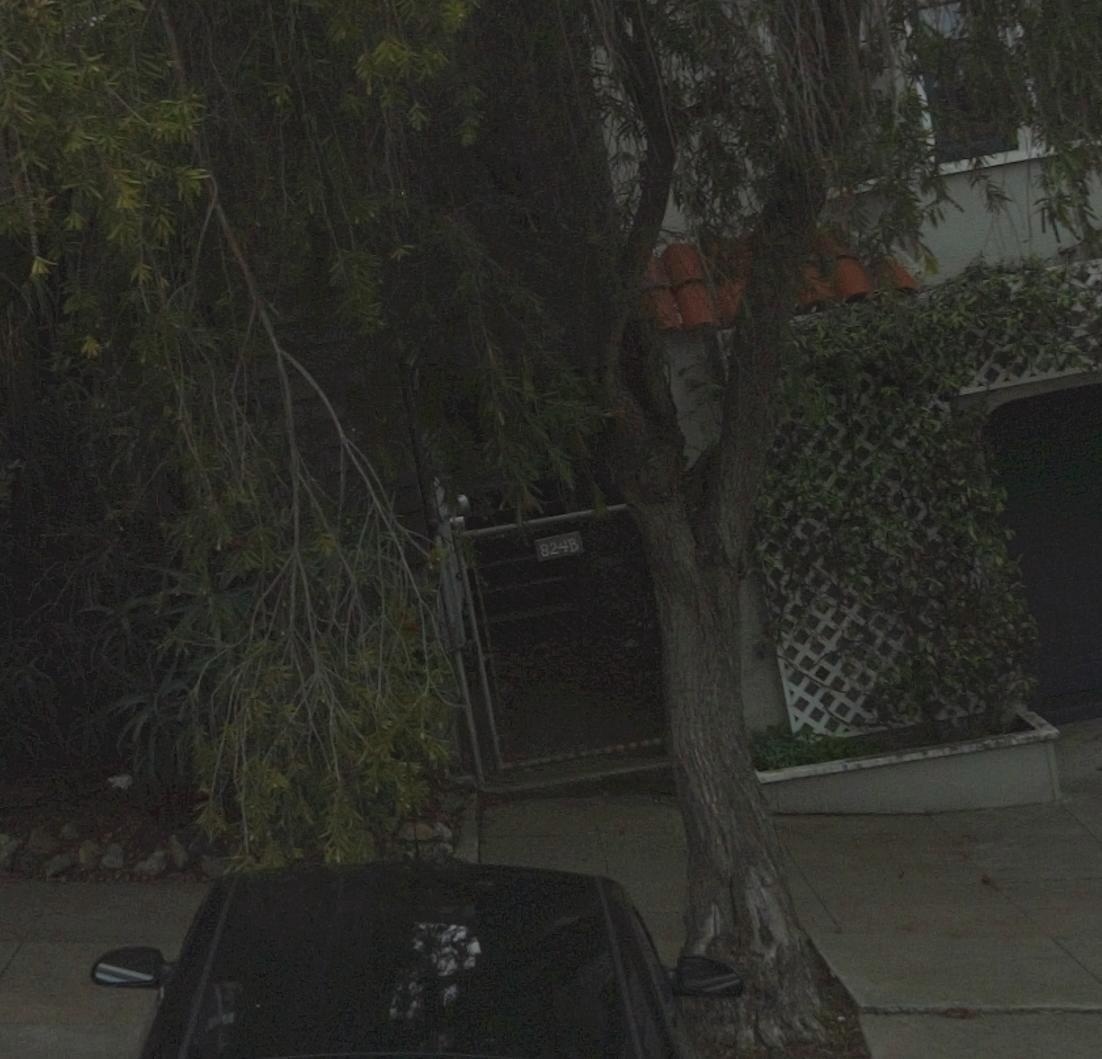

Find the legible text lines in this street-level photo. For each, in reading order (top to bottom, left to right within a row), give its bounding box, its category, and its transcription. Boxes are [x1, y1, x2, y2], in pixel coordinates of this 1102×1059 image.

[538, 535, 583, 560] StreetNumber: 824B